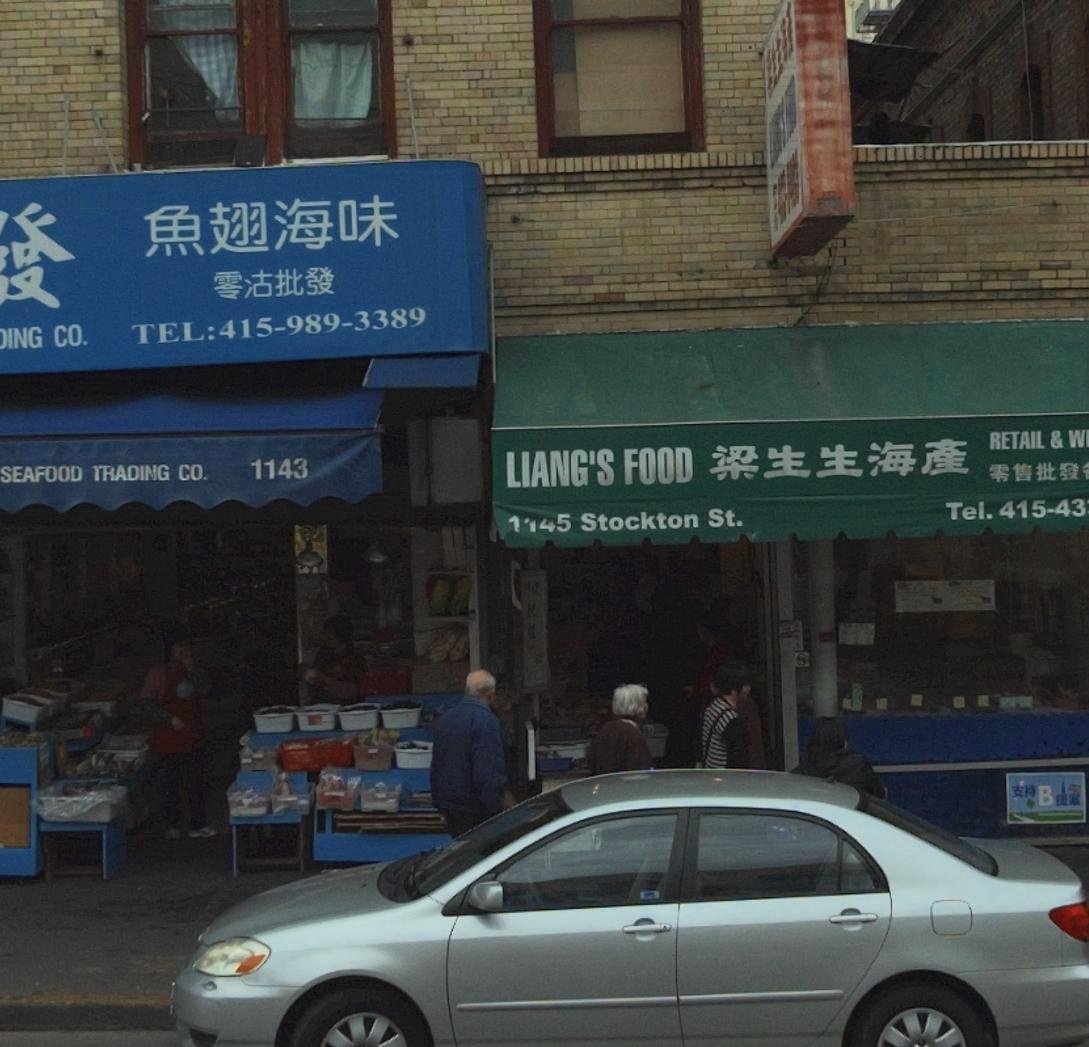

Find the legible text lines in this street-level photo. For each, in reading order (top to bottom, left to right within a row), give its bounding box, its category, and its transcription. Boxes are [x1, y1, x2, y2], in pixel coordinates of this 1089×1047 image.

[2, 319, 95, 354] BusinessName: ING CO.
[129, 301, 431, 350] None: TEL:415-989-3389
[985, 425, 1088, 454] None: RETAIL & W
[0, 459, 210, 488] BusinessName: SEAFOOD TRADING CO.
[245, 454, 313, 485] StreetNumber: 1143
[502, 441, 696, 490] BusinessName: LIANG'S FOOD
[504, 509, 576, 539] StreetNumber: 1145
[577, 503, 750, 537] StreetName: Stockton St.
[942, 493, 1089, 527] None: Tel. 415-43
[1035, 781, 1058, 811] None: B